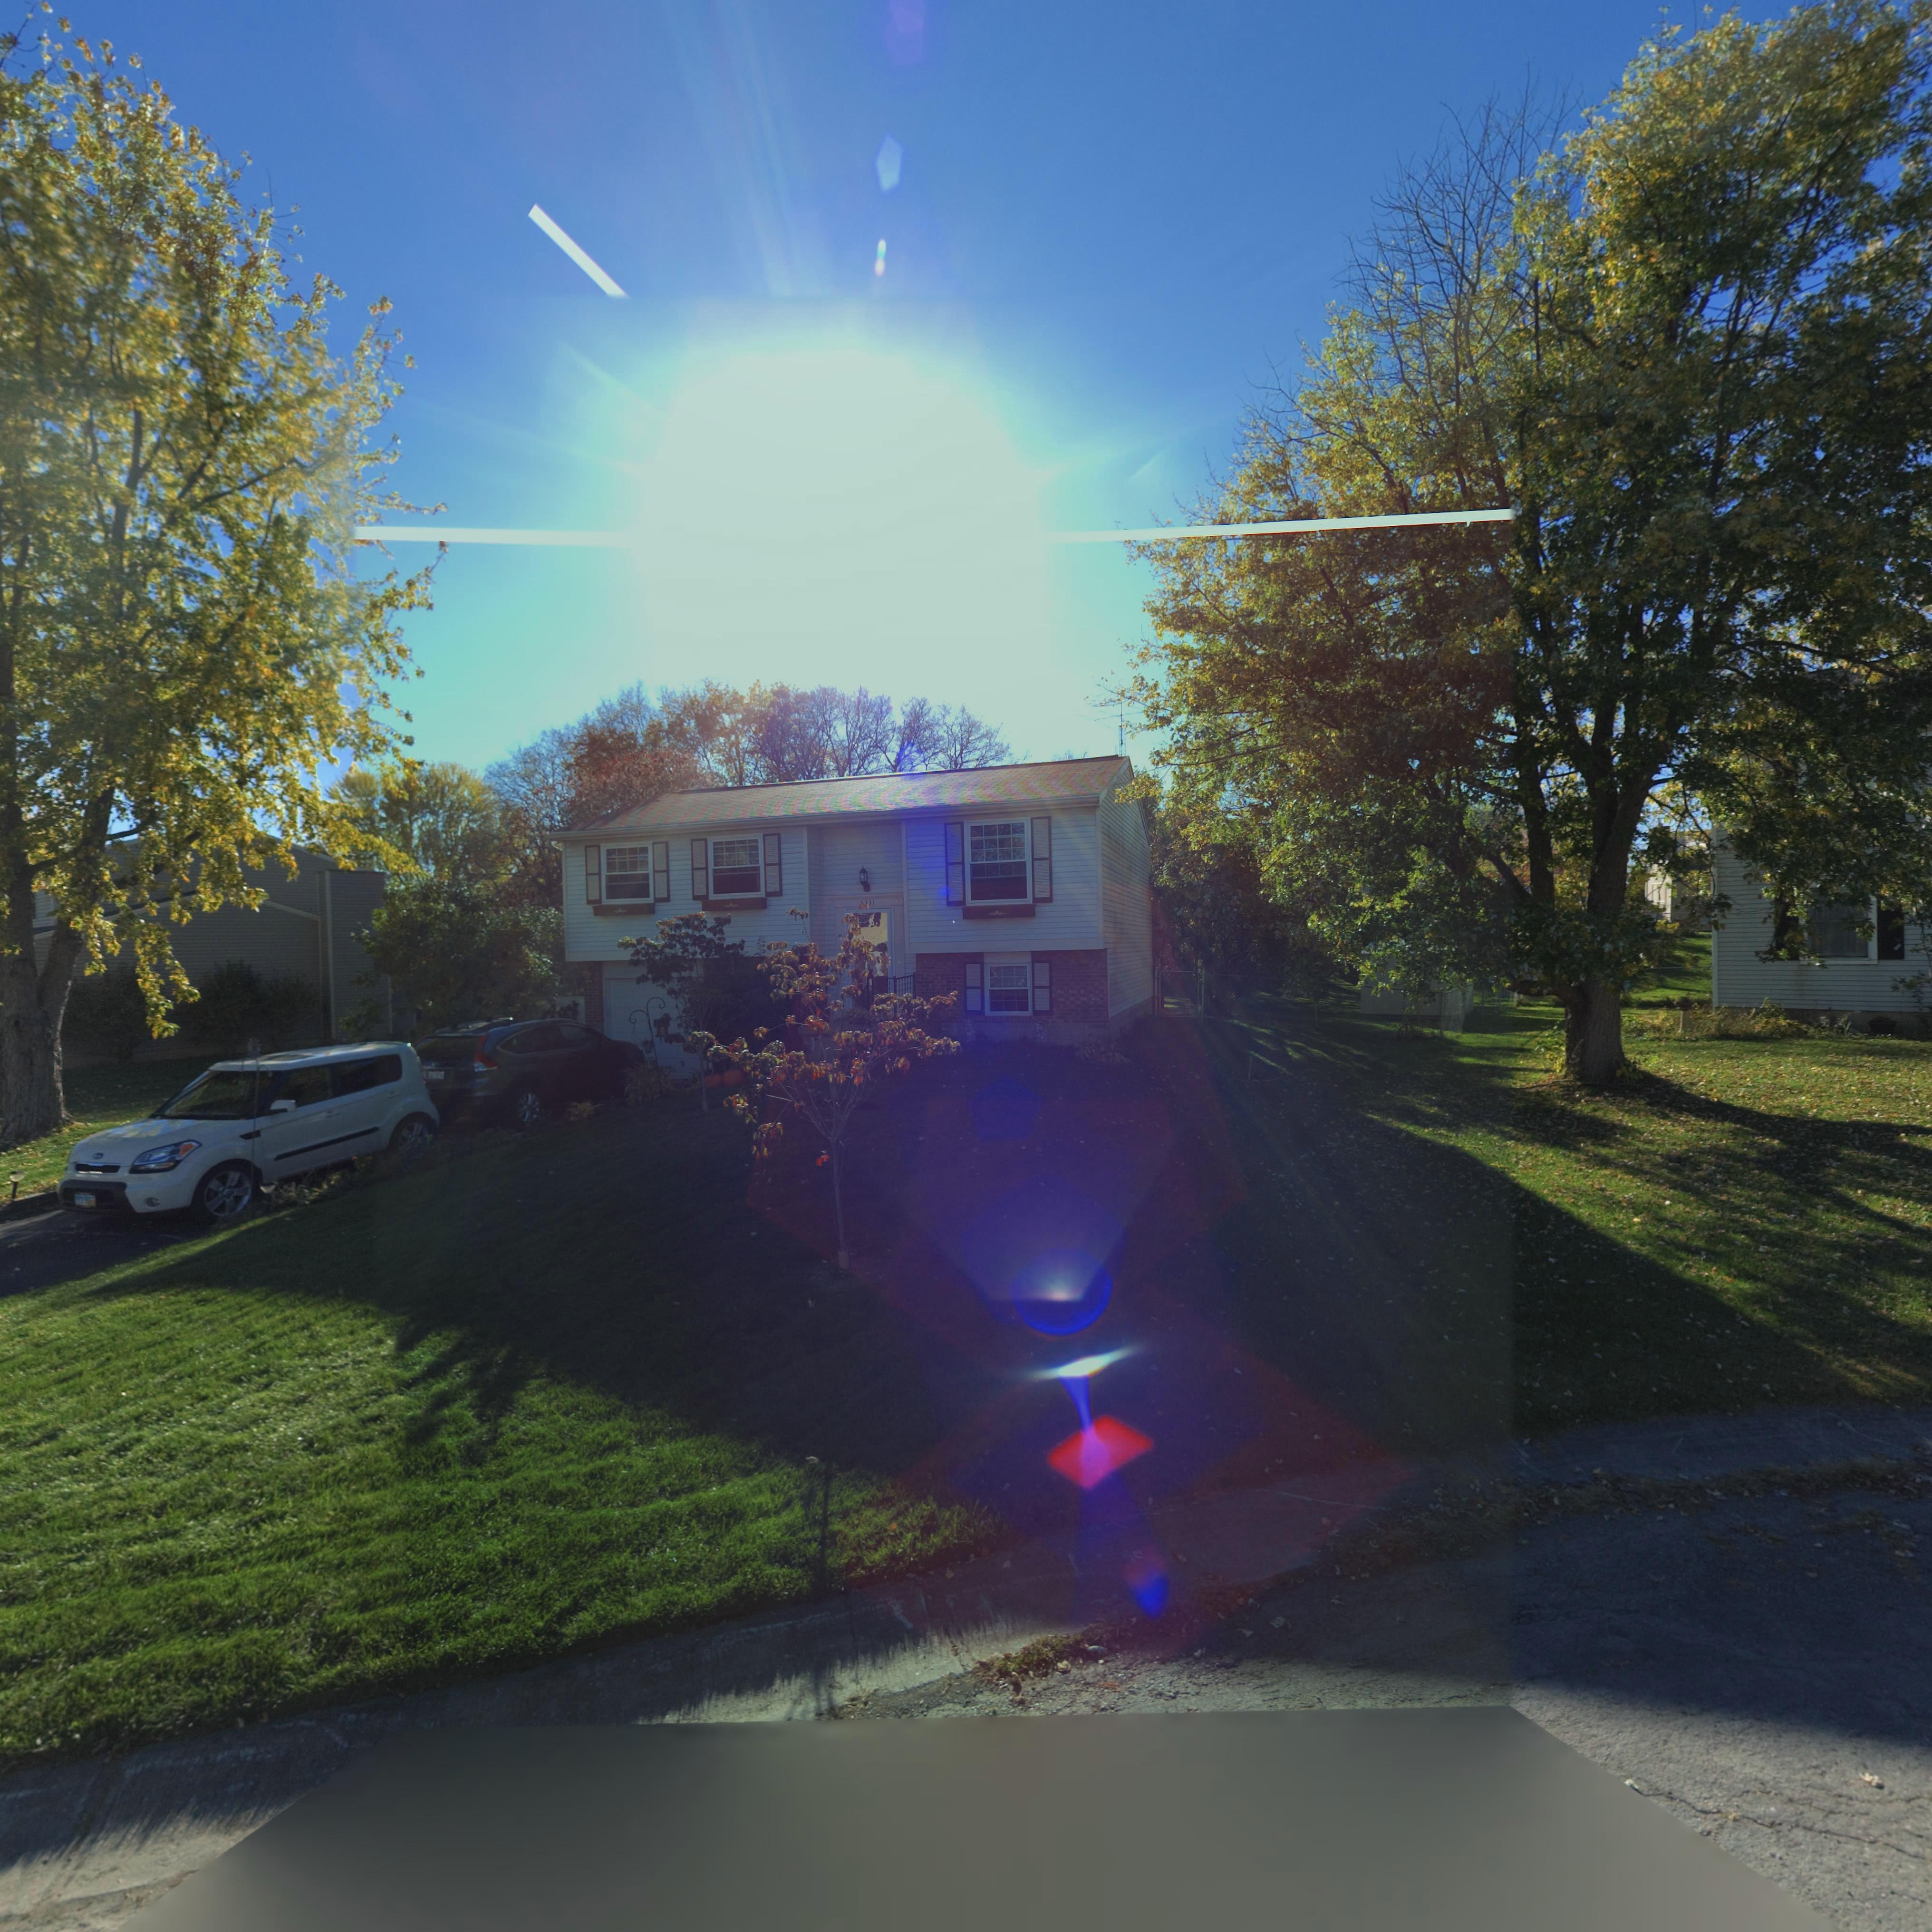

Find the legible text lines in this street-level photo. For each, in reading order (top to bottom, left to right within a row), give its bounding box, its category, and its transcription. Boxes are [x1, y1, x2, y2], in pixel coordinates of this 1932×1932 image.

[868, 898, 875, 907] StreetNumber: 31